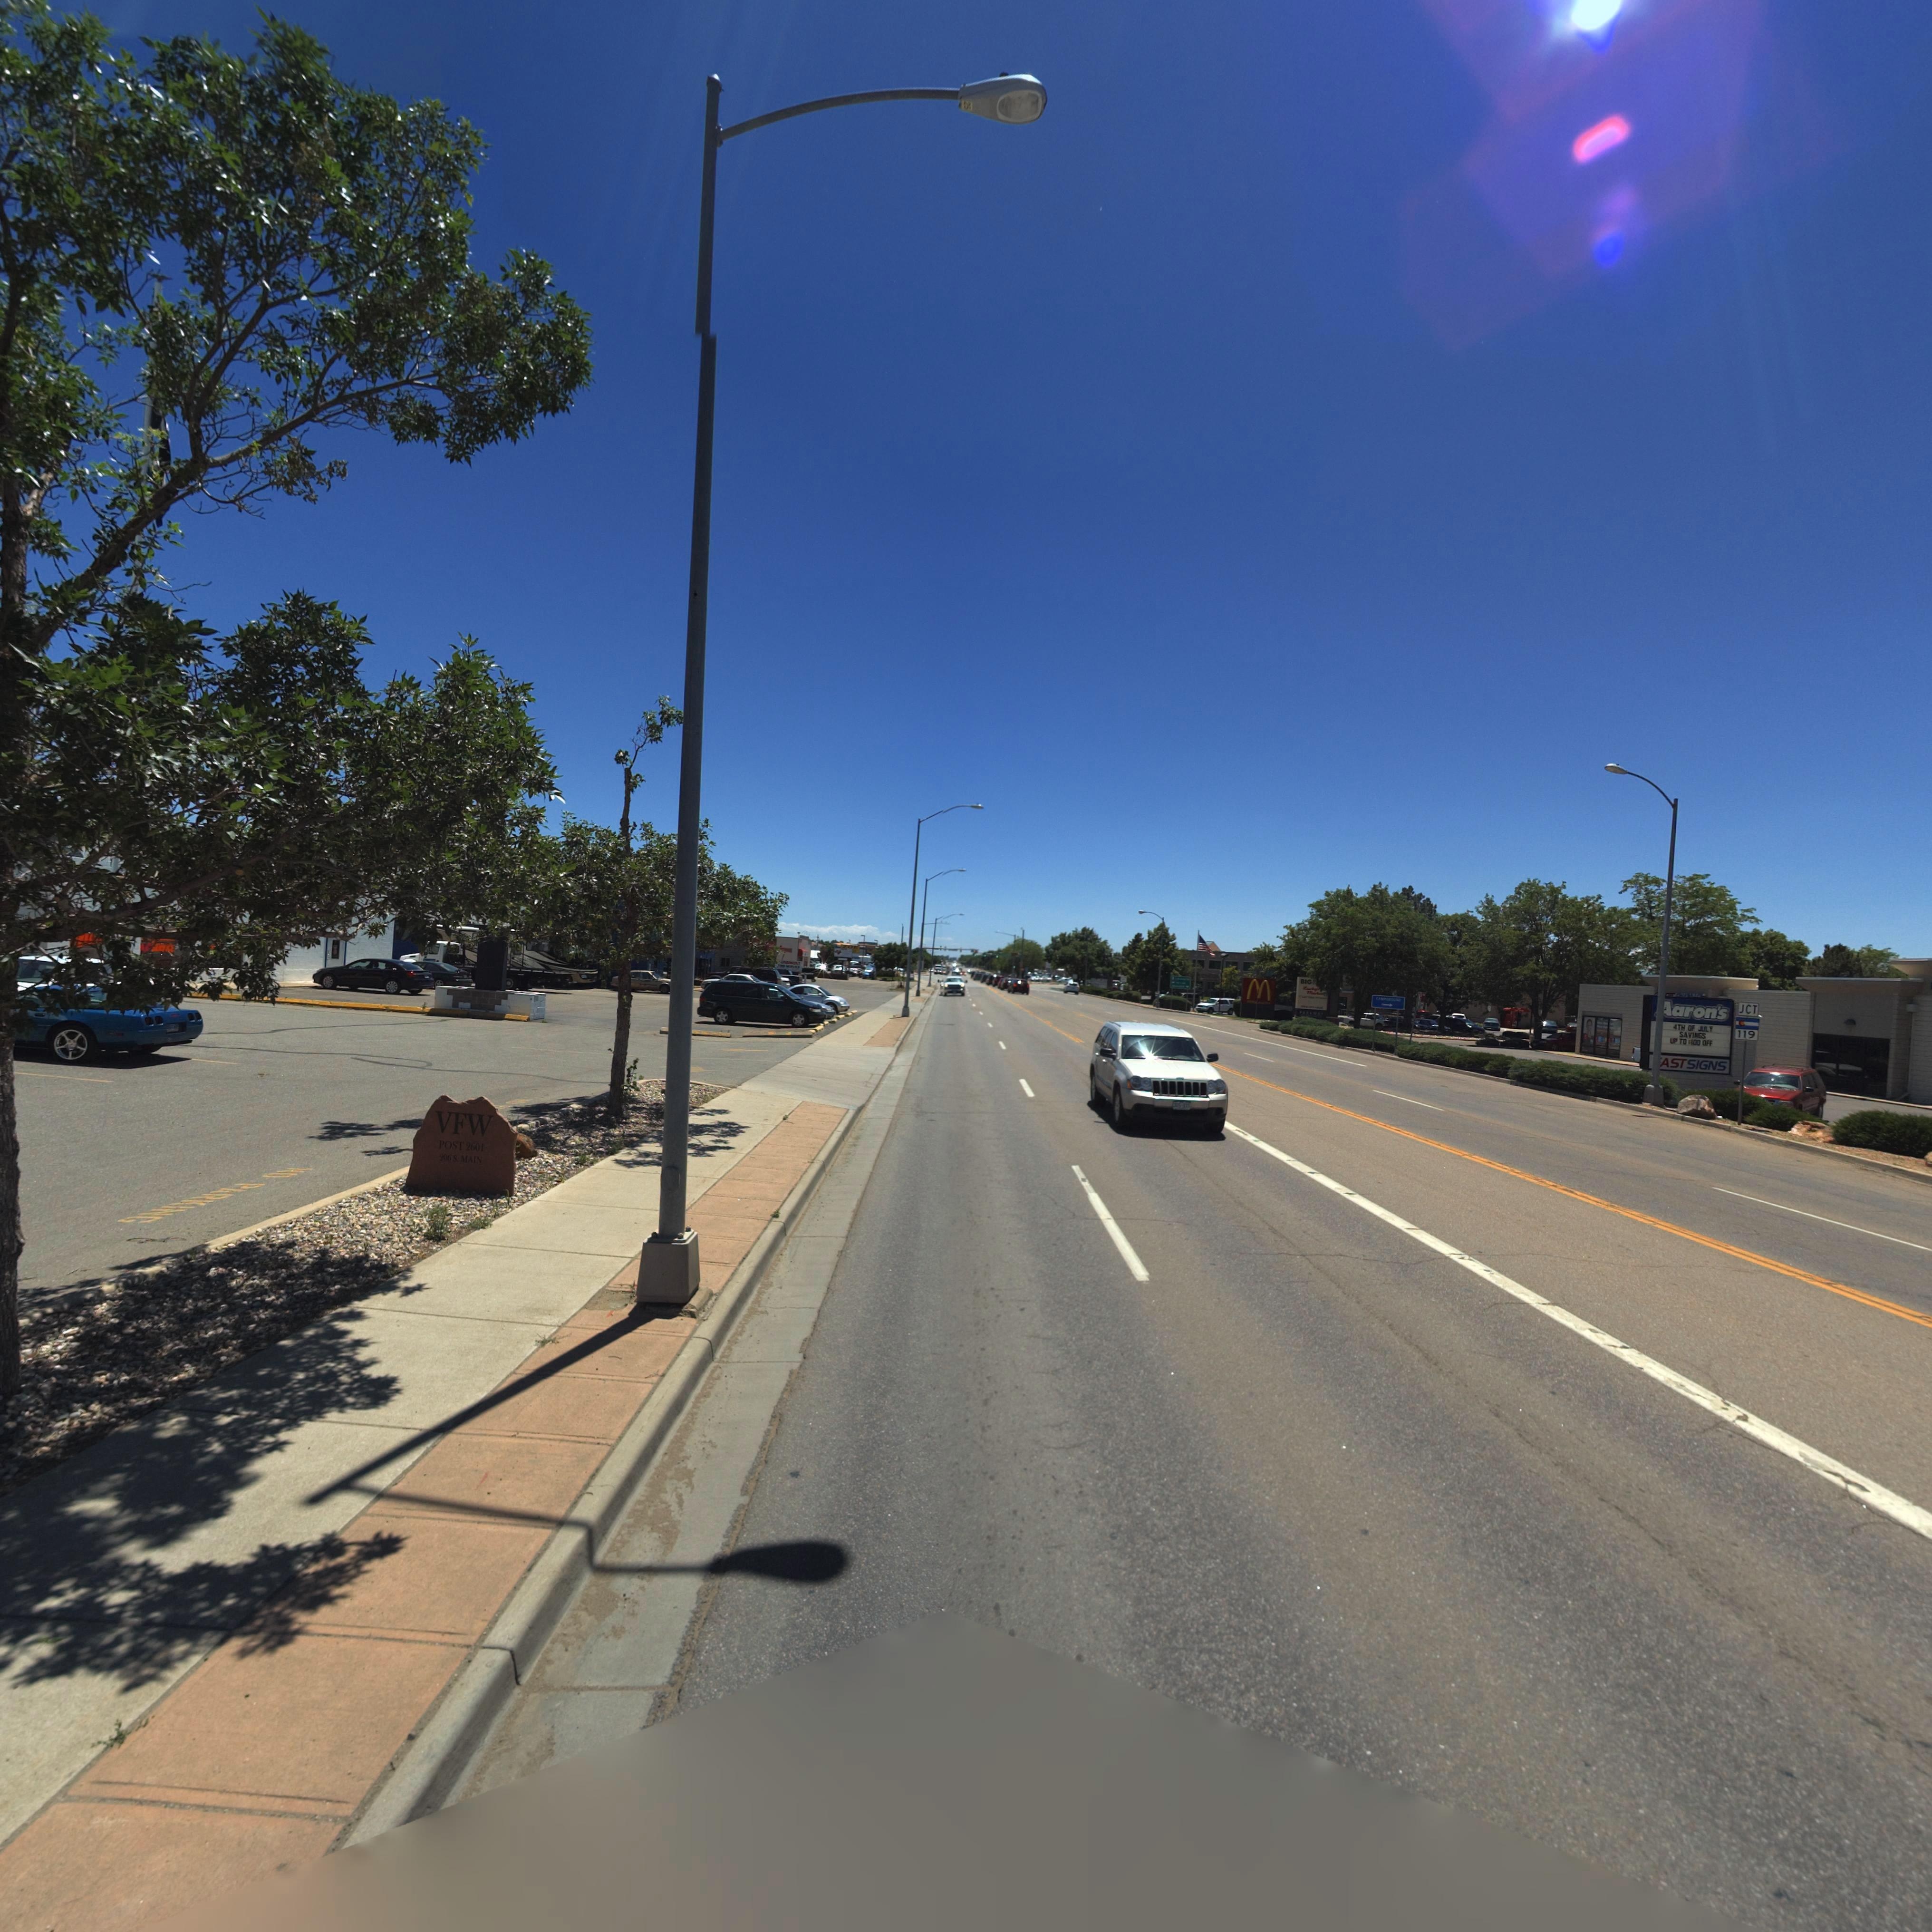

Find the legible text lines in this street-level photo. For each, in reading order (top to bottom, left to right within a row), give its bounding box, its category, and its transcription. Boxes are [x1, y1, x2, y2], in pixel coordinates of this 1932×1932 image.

[841, 944, 858, 948] BusinessName: ZOE
[781, 960, 800, 965] BusinessName: ONGMONT
[1301, 979, 1312, 984] BusinessName: BIG
[1306, 990, 1323, 995] BusinessName: Marke
[1663, 1001, 1728, 1020] BusinessName: *aron's
[1660, 1057, 1727, 1071] BusinessName: AST SIGNS
[435, 1111, 494, 1137] BusinessName: VFW
[465, 1142, 483, 1152] StreetNumber: 2601
[439, 1154, 452, 1161] StreetNumber: 206
[453, 1154, 482, 1164] StreetName: S. MAIN